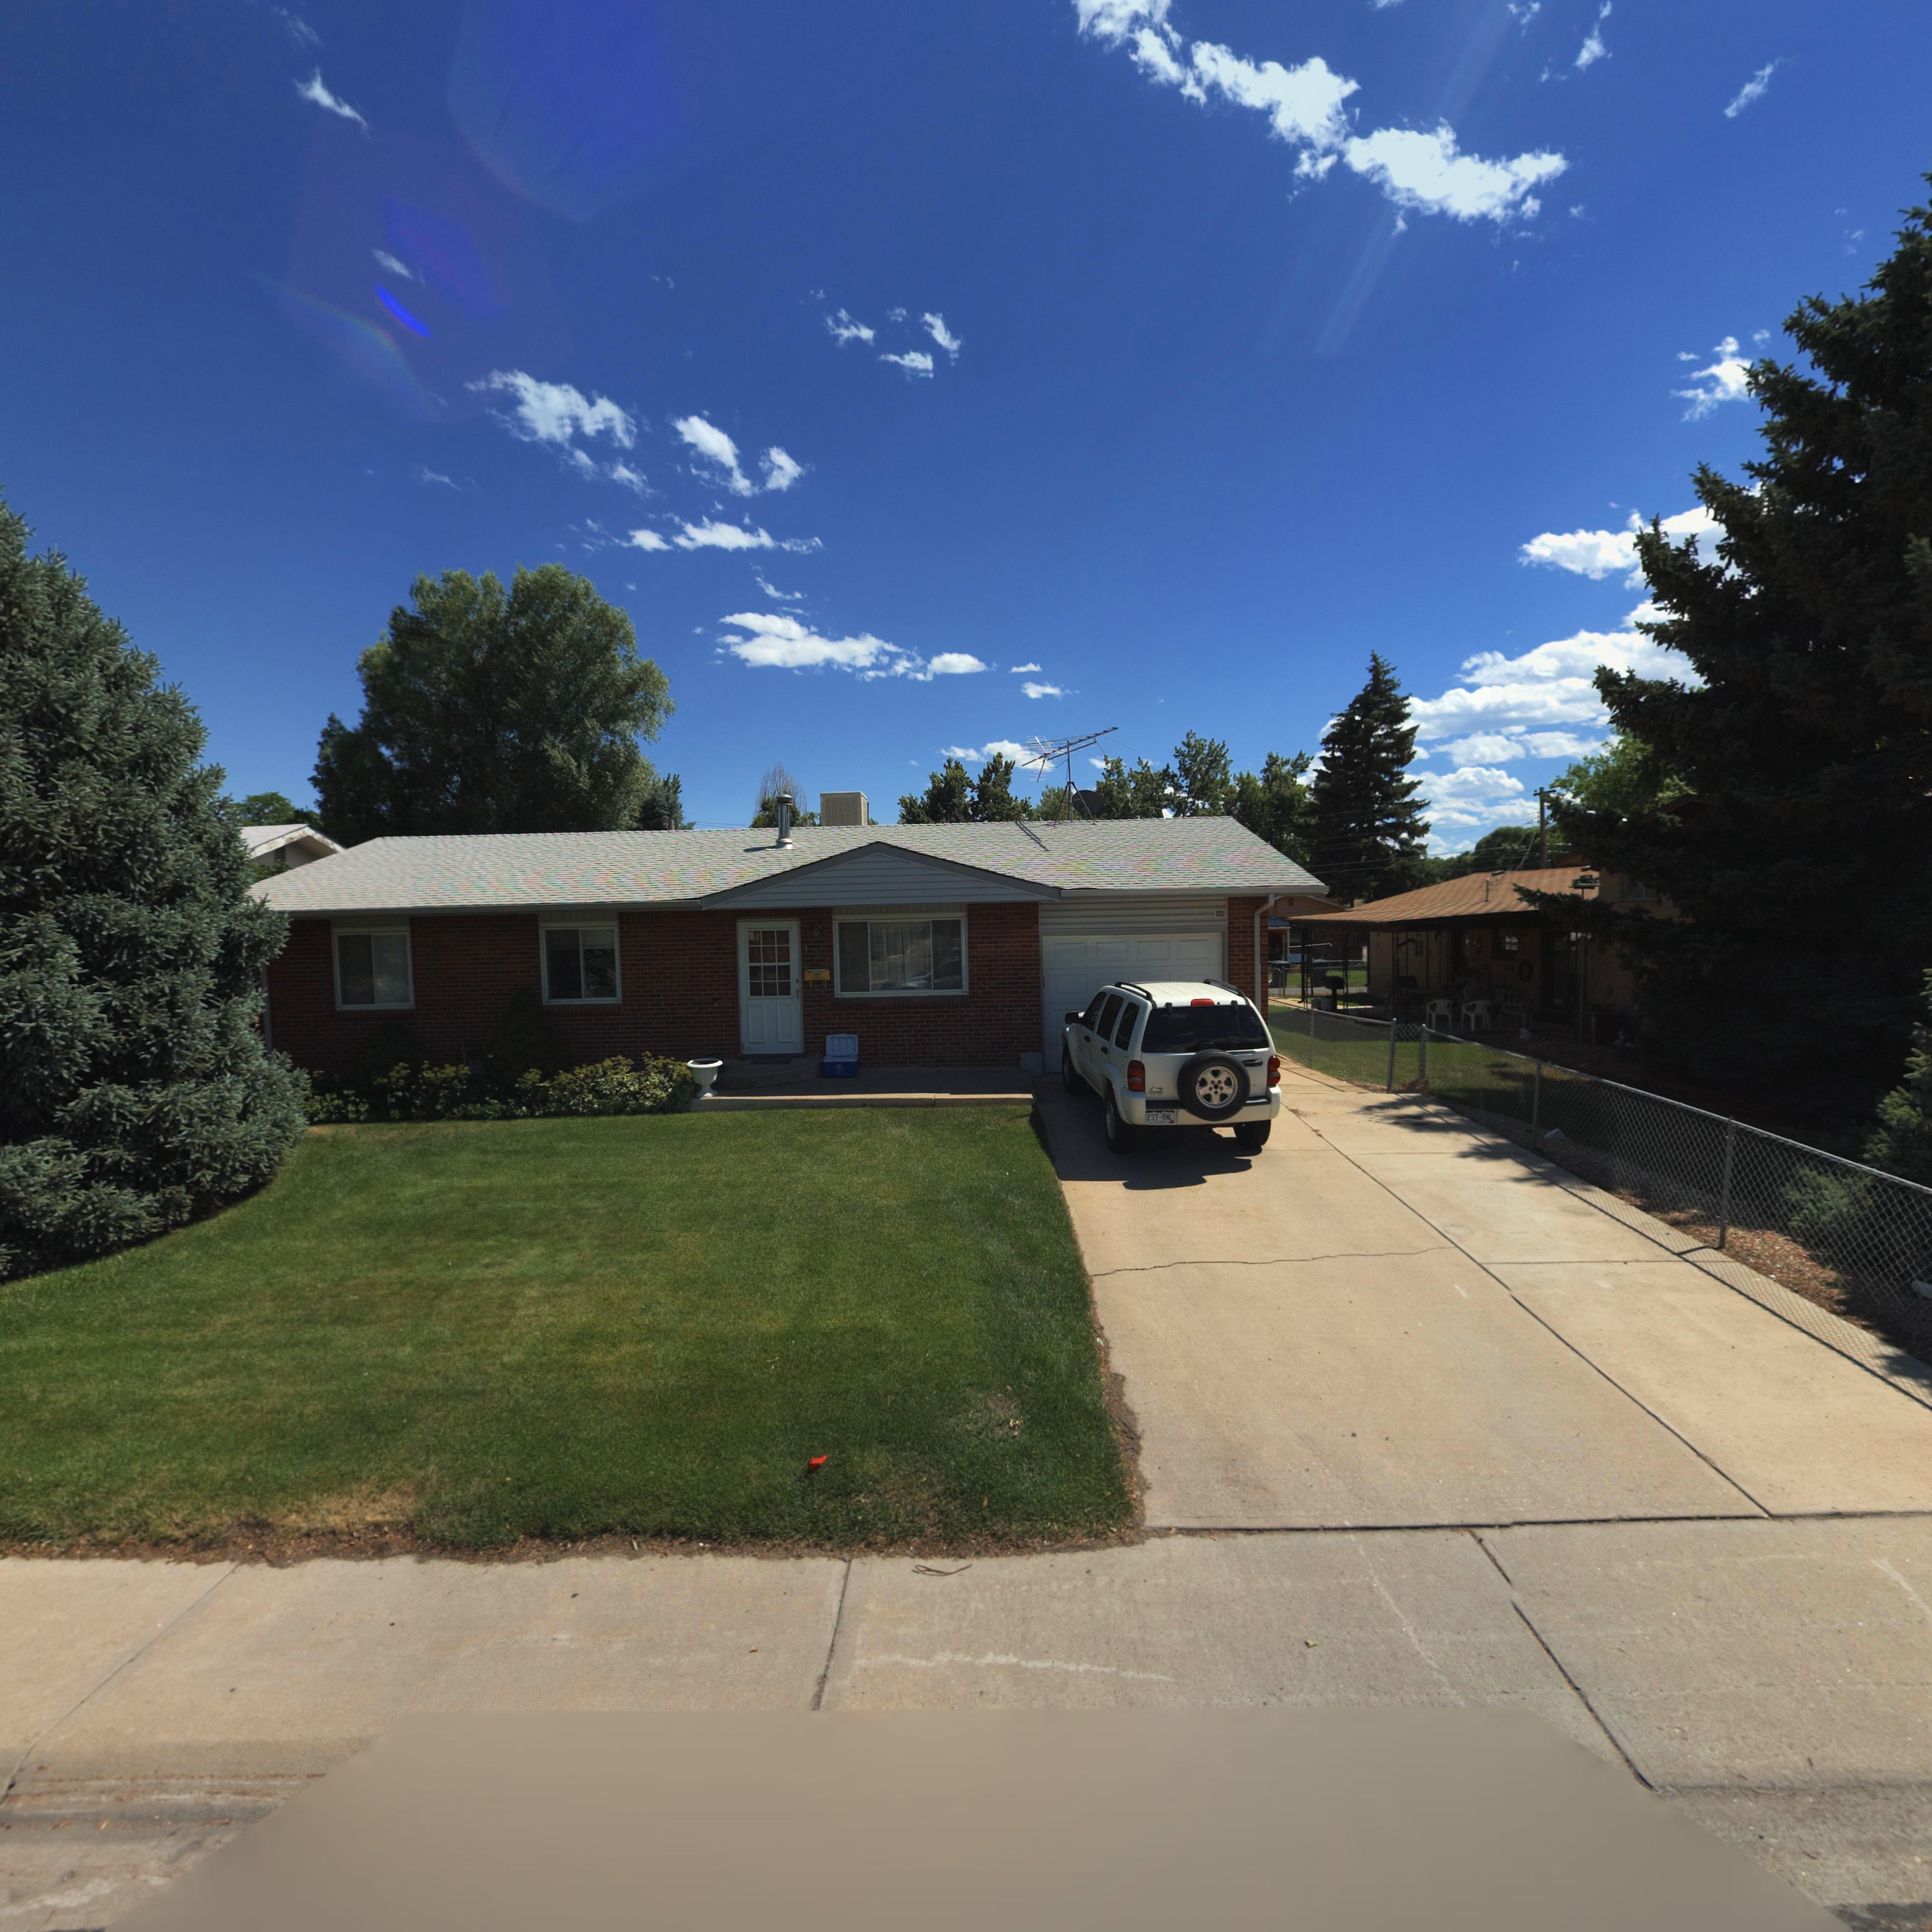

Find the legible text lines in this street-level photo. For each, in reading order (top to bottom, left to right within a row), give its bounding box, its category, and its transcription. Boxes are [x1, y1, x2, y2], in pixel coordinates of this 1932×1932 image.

[803, 945, 829, 964] StreetNumber: 127